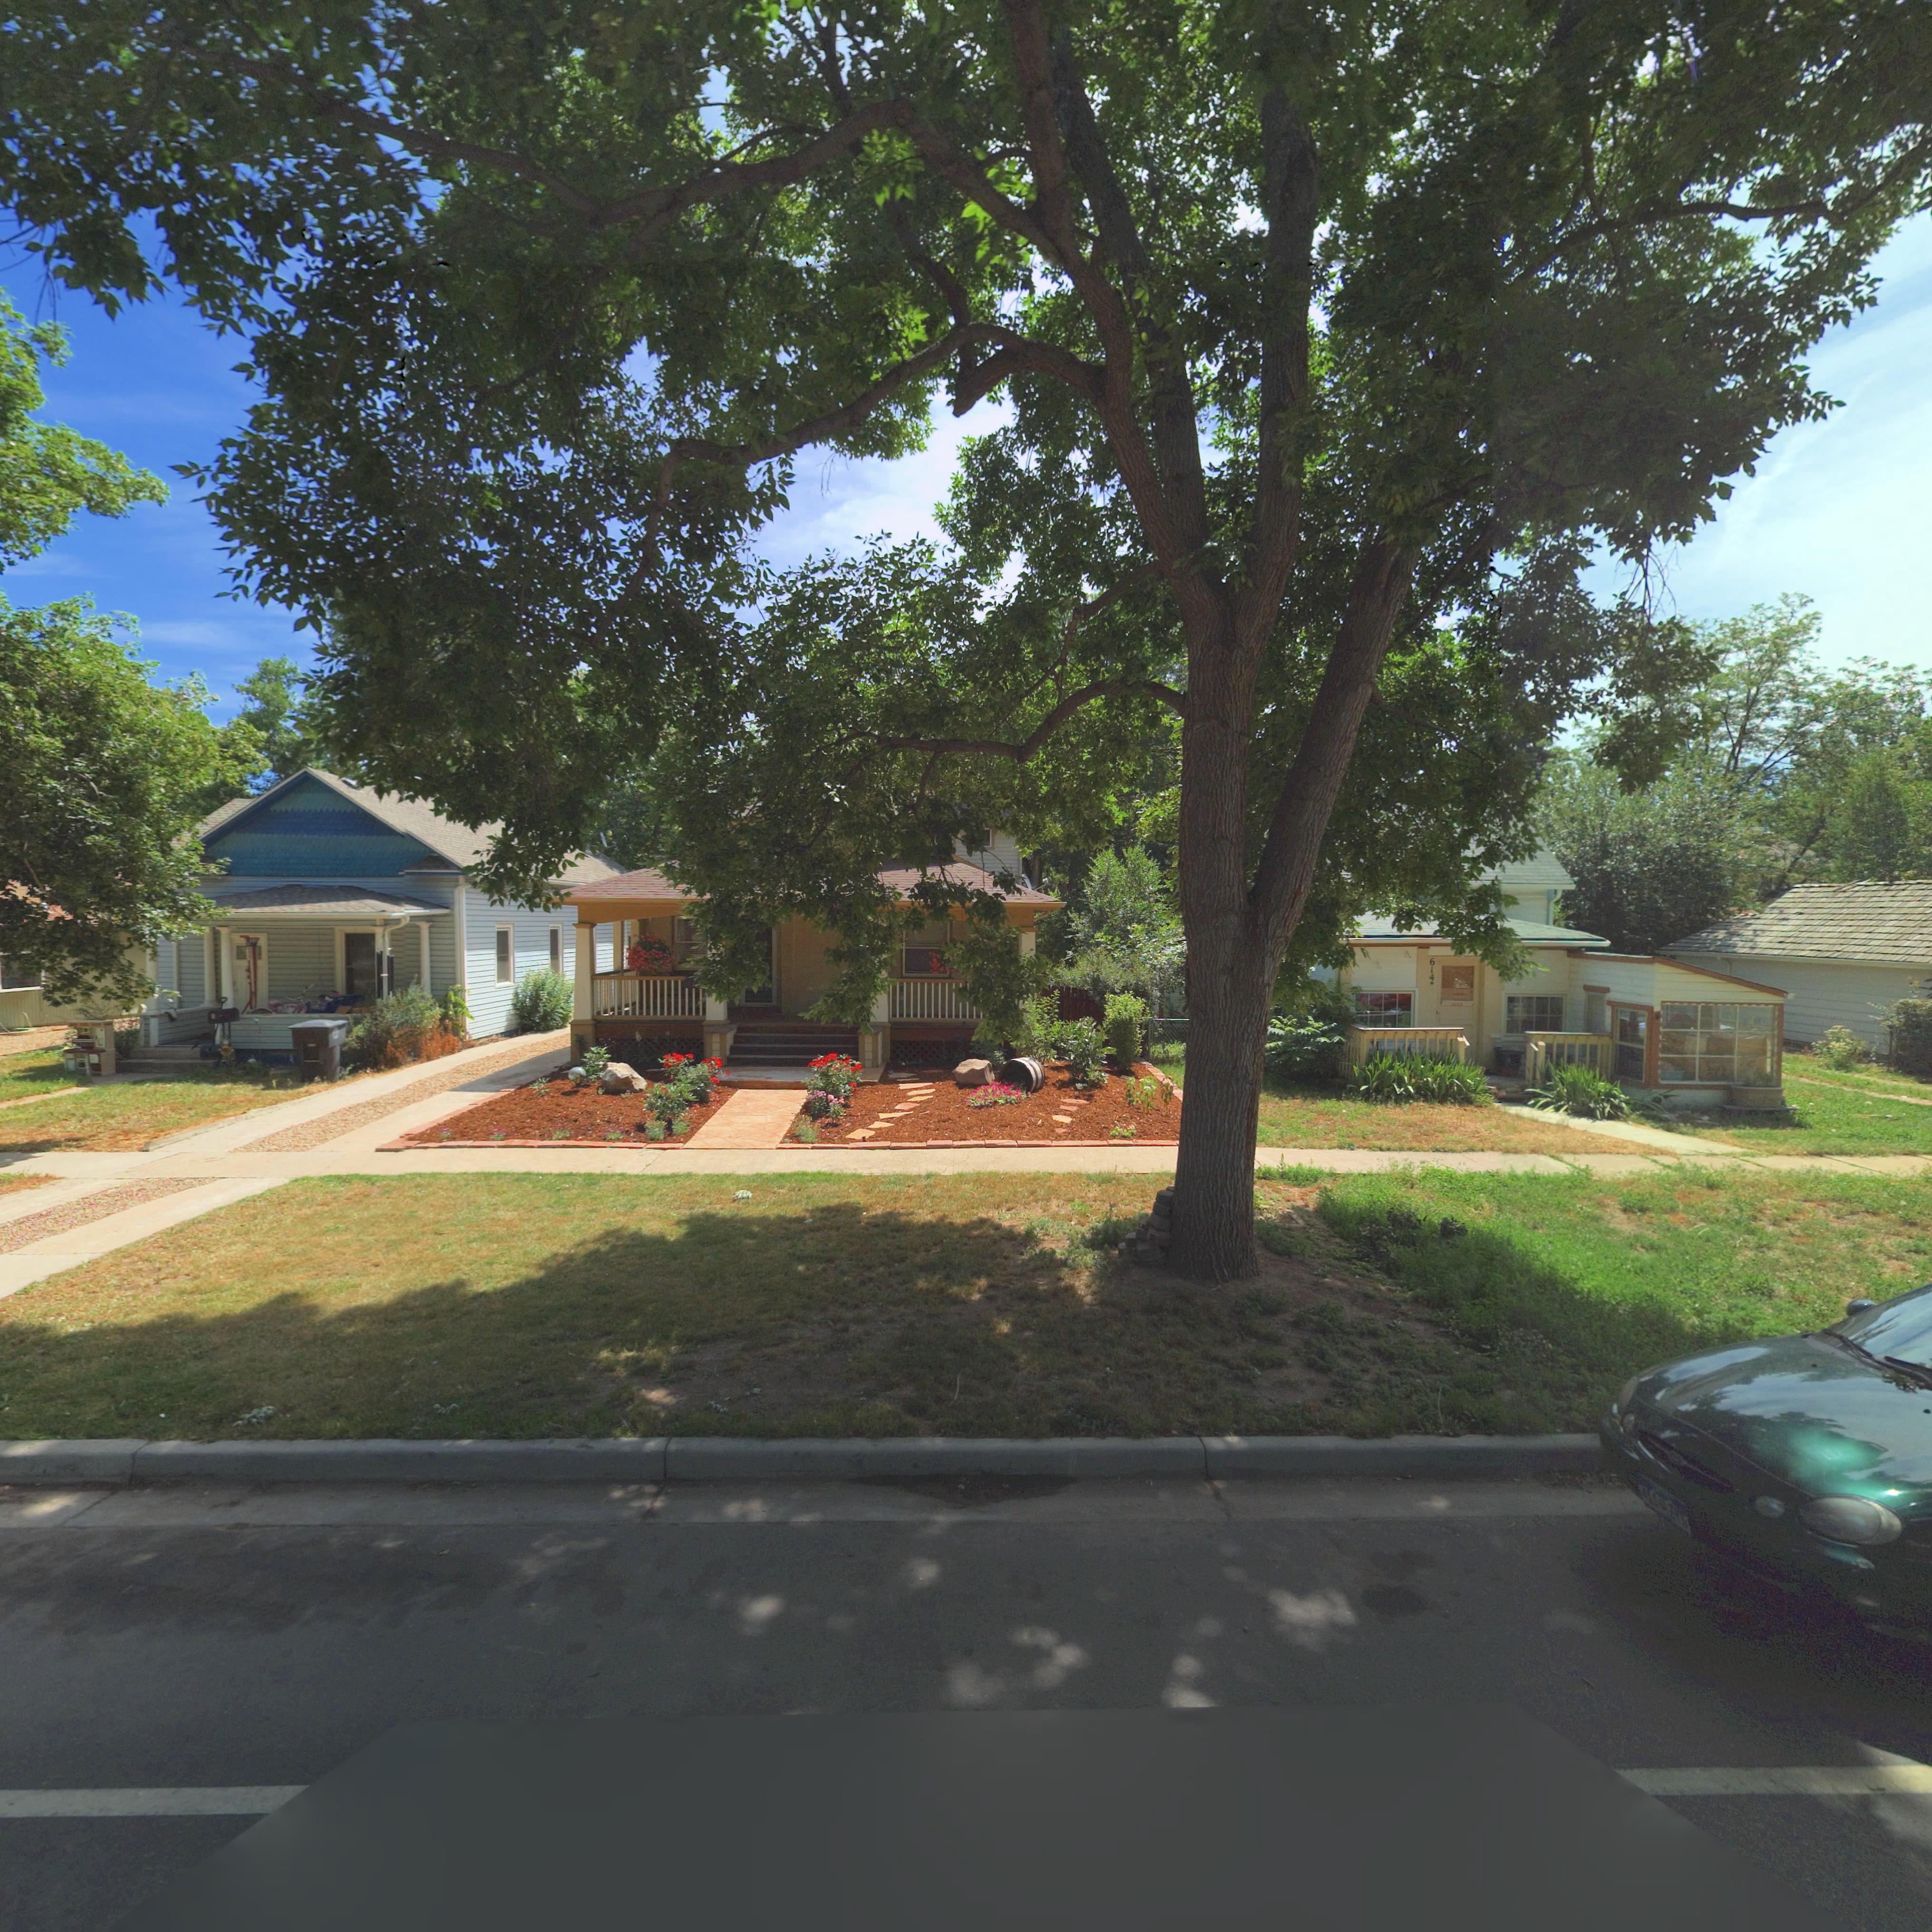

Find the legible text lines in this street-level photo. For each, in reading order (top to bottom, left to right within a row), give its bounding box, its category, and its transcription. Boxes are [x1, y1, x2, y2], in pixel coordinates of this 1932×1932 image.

[1429, 957, 1435, 981] StreetNumber: 614